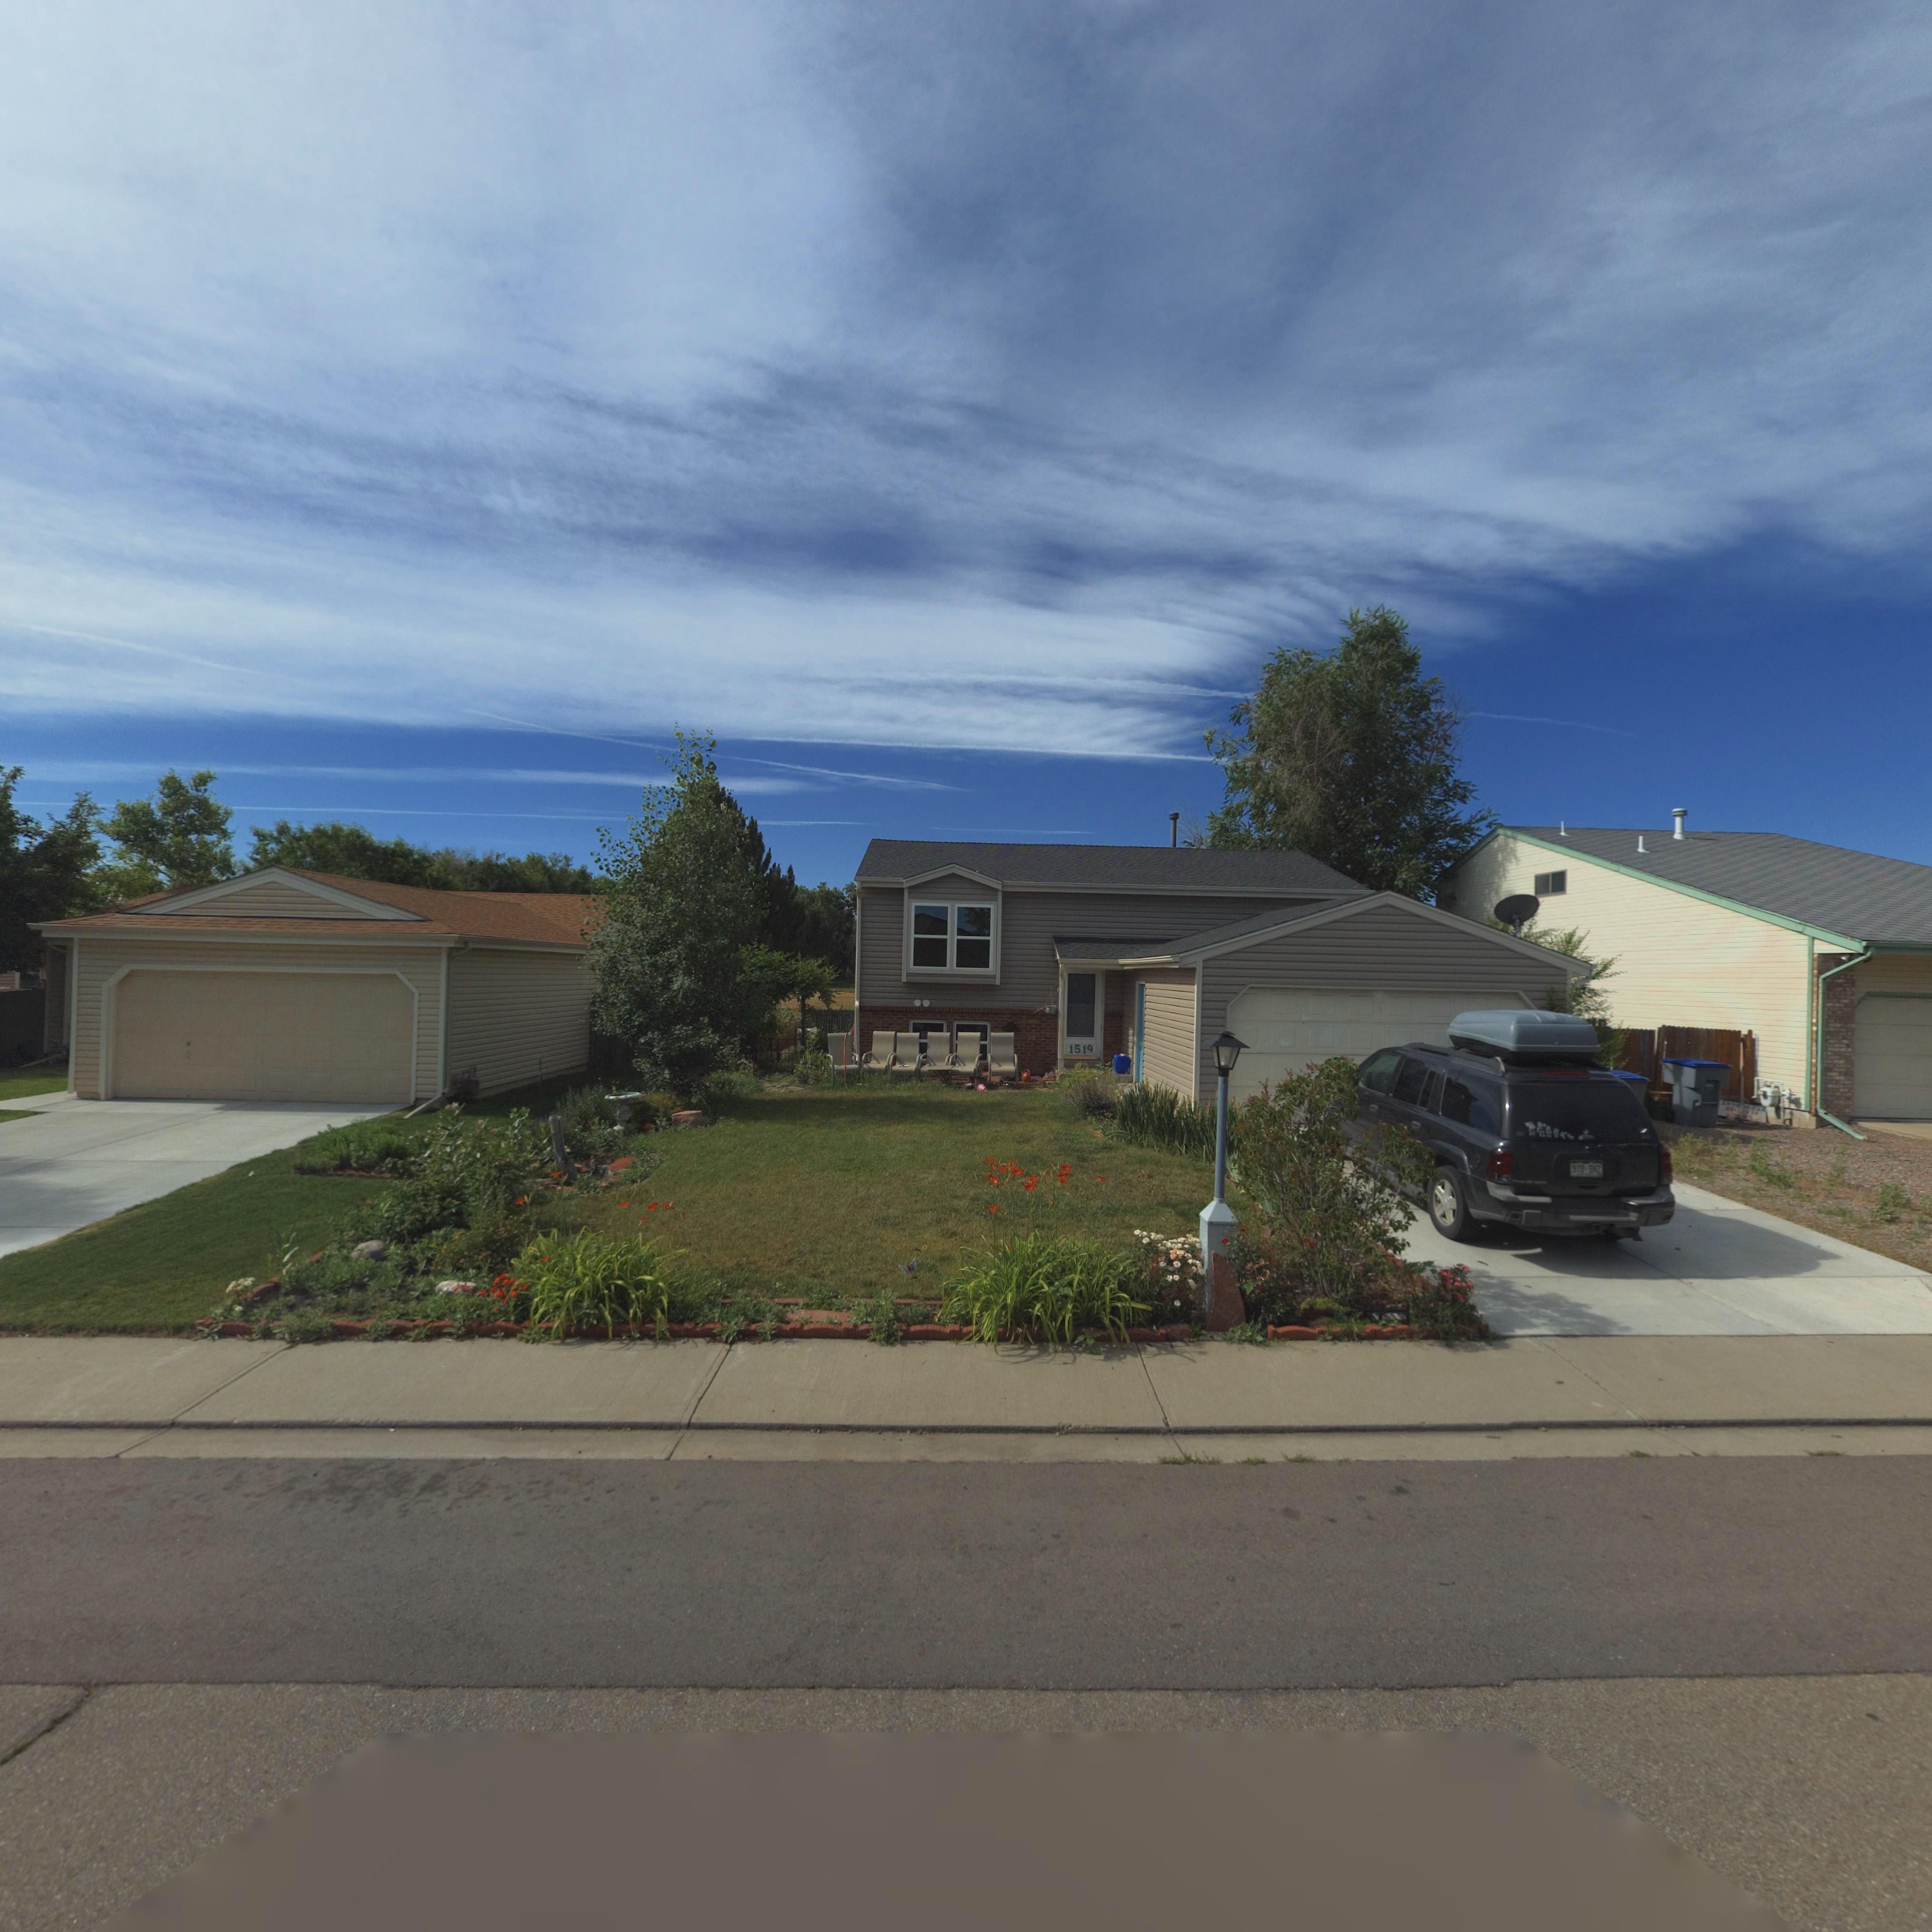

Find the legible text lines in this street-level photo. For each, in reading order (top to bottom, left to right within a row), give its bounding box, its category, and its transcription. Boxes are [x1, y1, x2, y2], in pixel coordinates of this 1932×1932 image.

[1069, 1044, 1093, 1053] StreetNumber: 1519